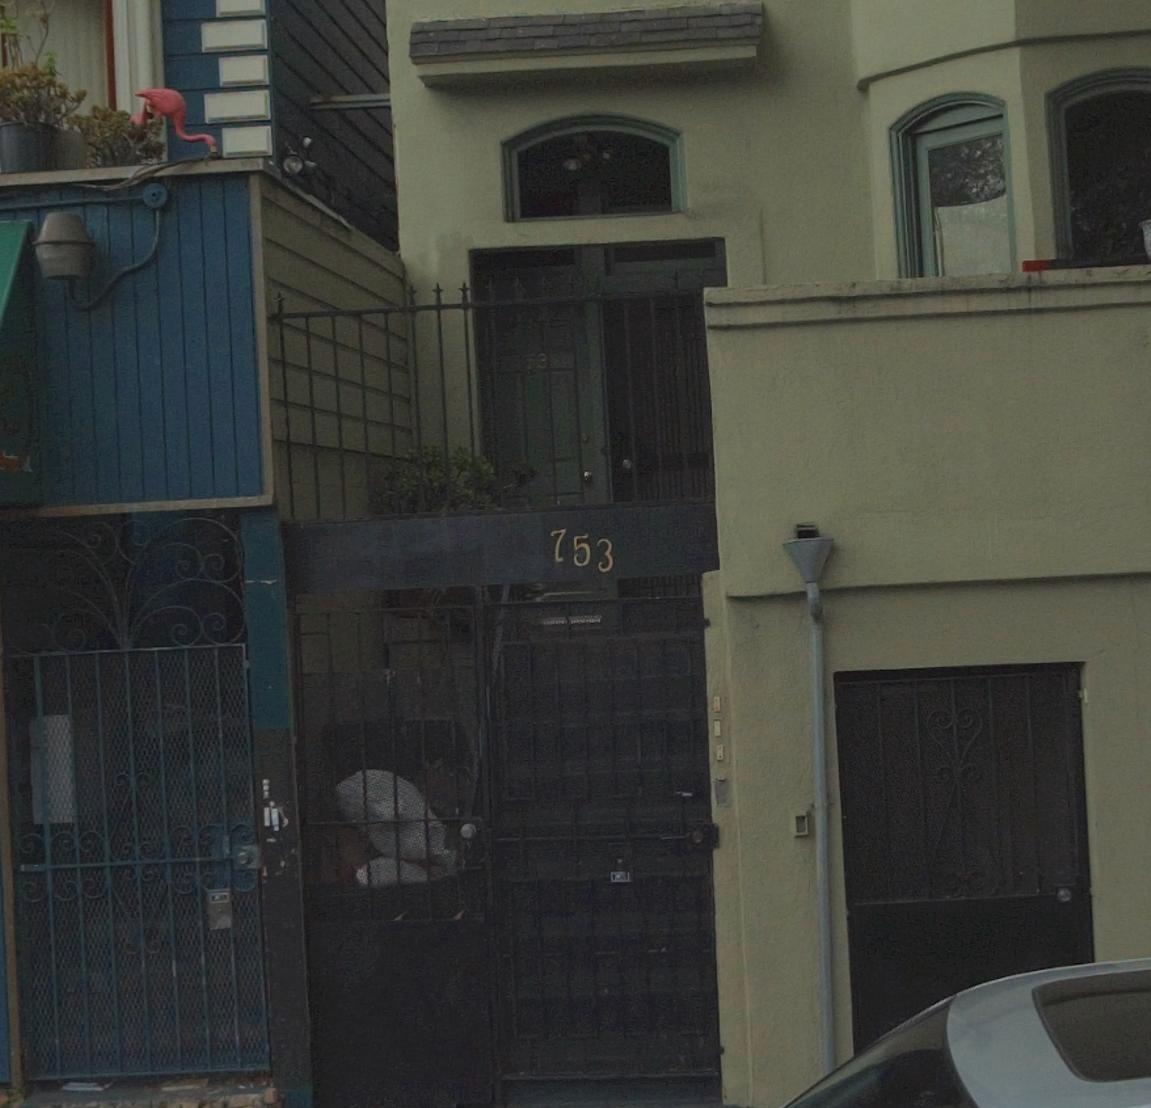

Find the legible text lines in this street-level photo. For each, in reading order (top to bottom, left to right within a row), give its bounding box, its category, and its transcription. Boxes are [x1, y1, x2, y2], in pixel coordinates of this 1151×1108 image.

[547, 525, 618, 578] StreetNumber: 753